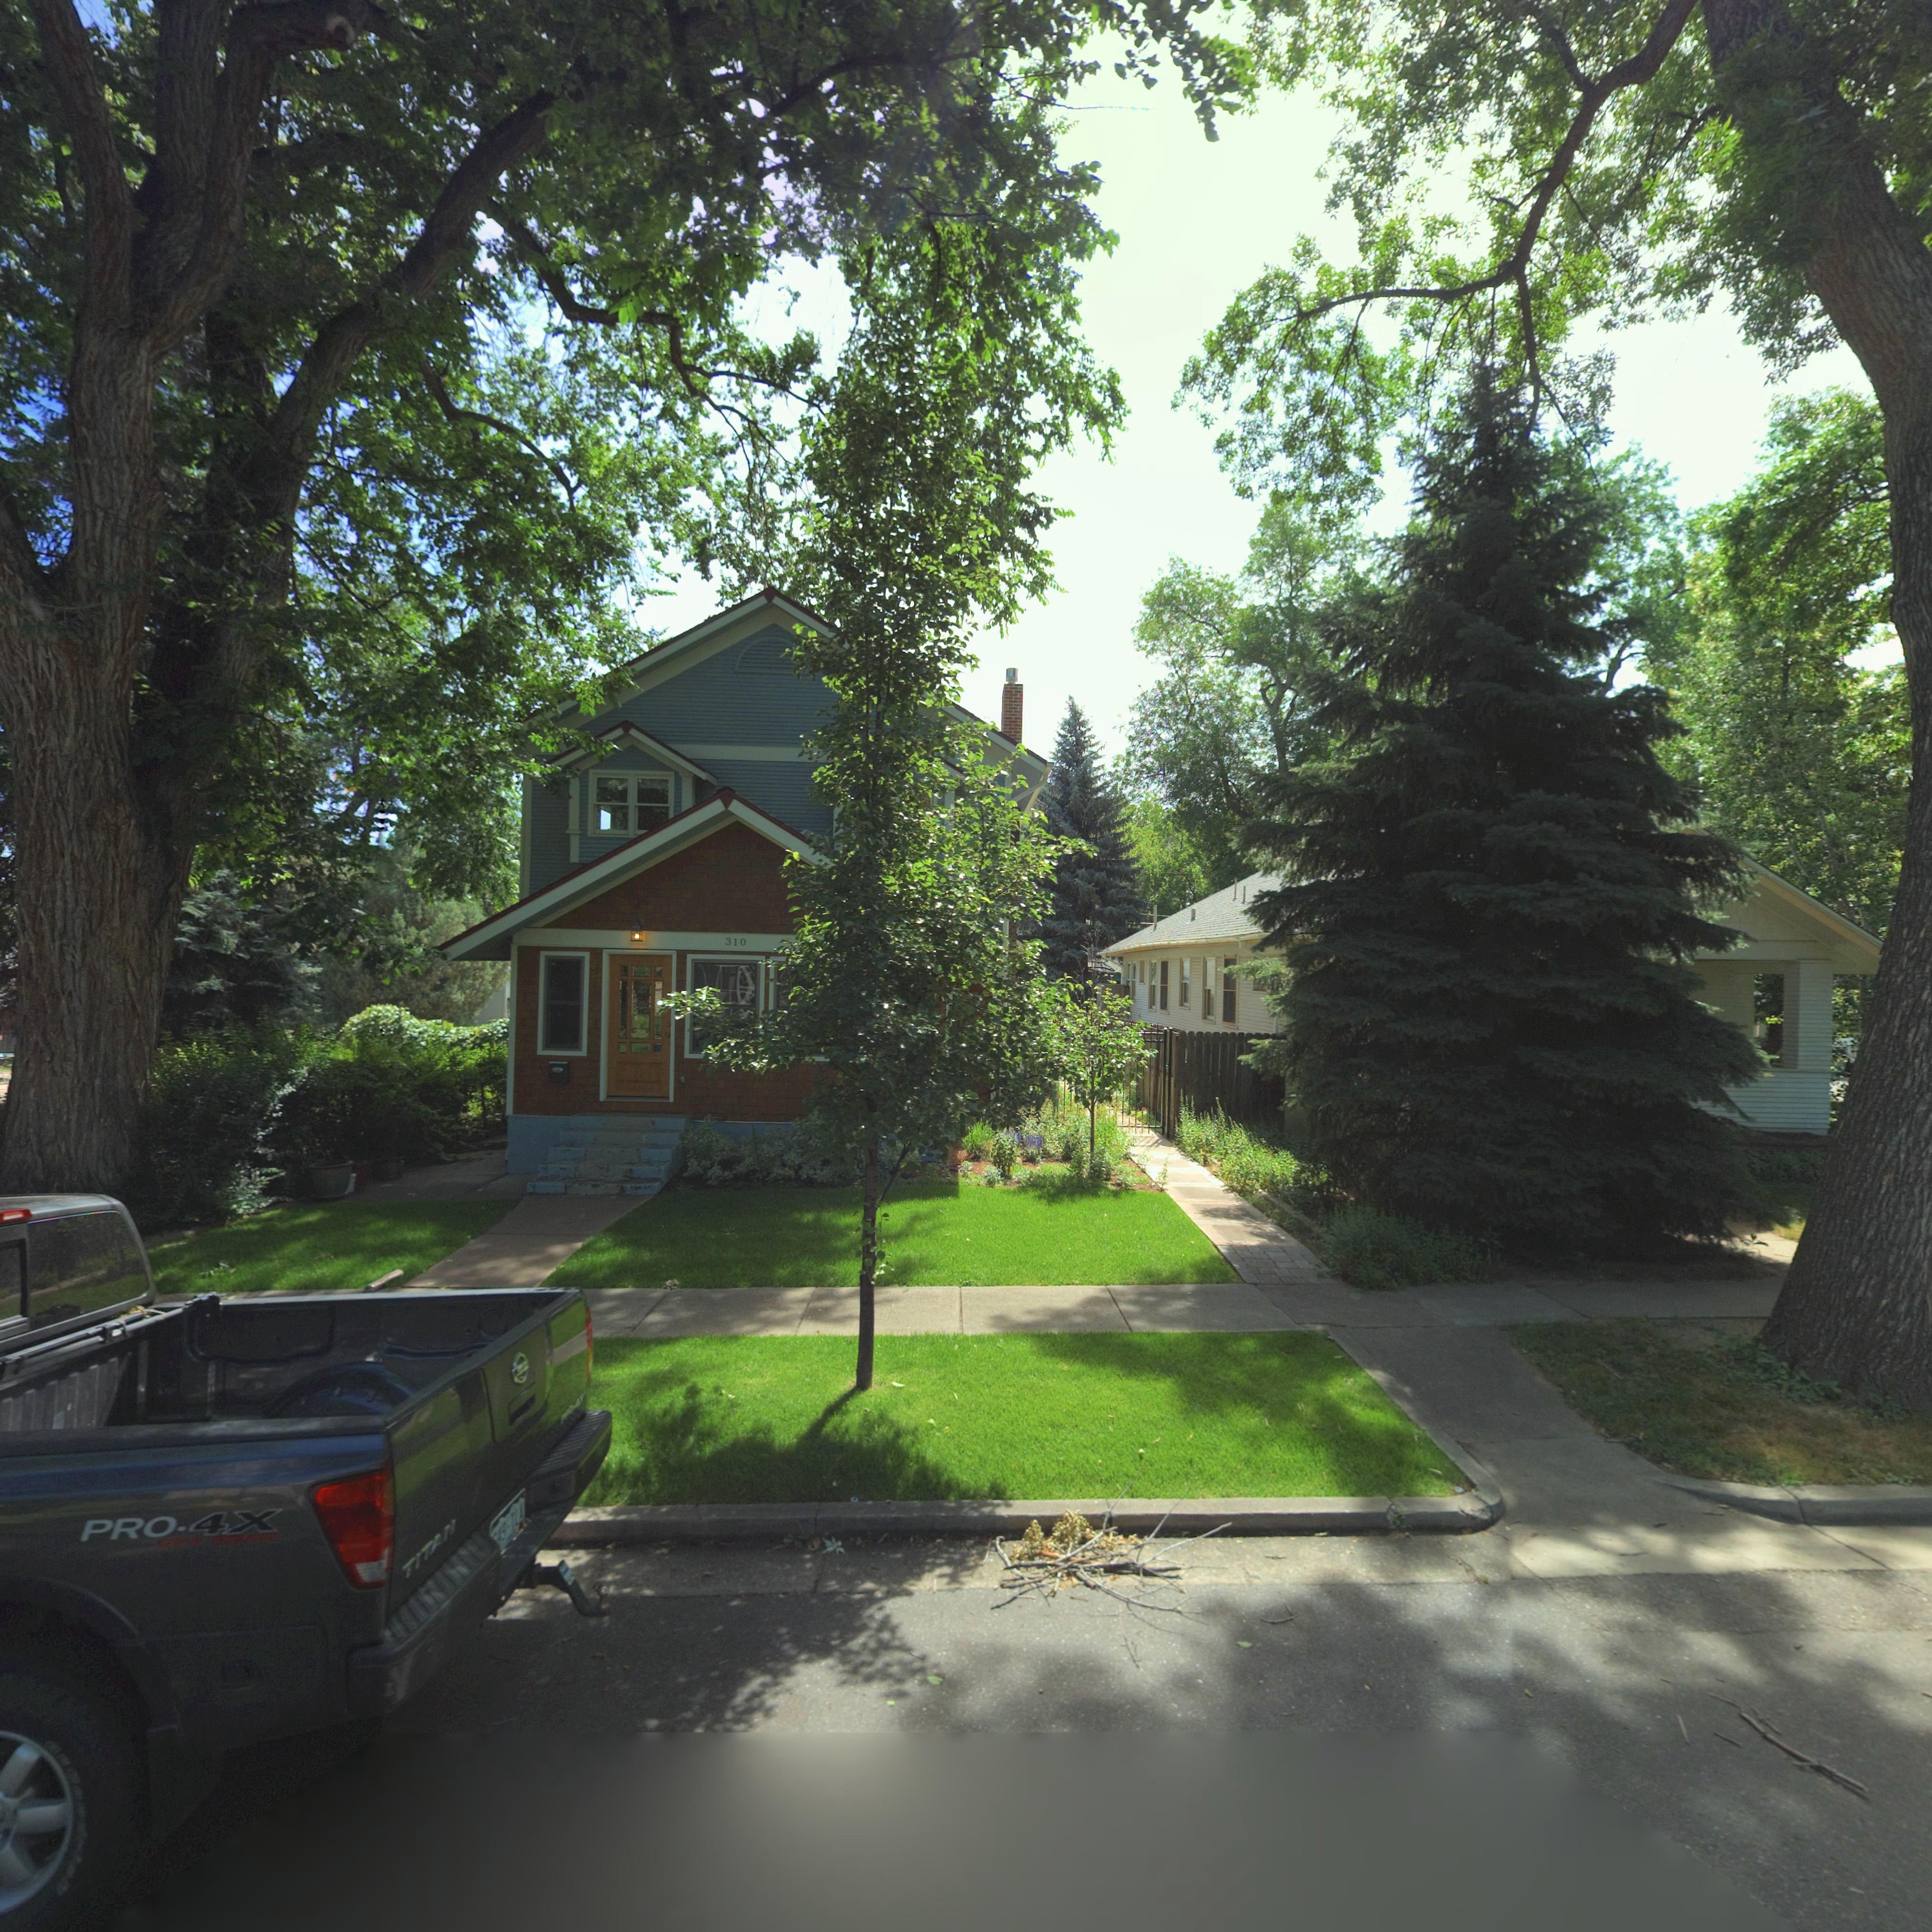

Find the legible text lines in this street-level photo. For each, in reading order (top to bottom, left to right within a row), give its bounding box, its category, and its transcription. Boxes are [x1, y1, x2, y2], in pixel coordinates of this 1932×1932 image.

[725, 937, 745, 946] StreetNumber: 310